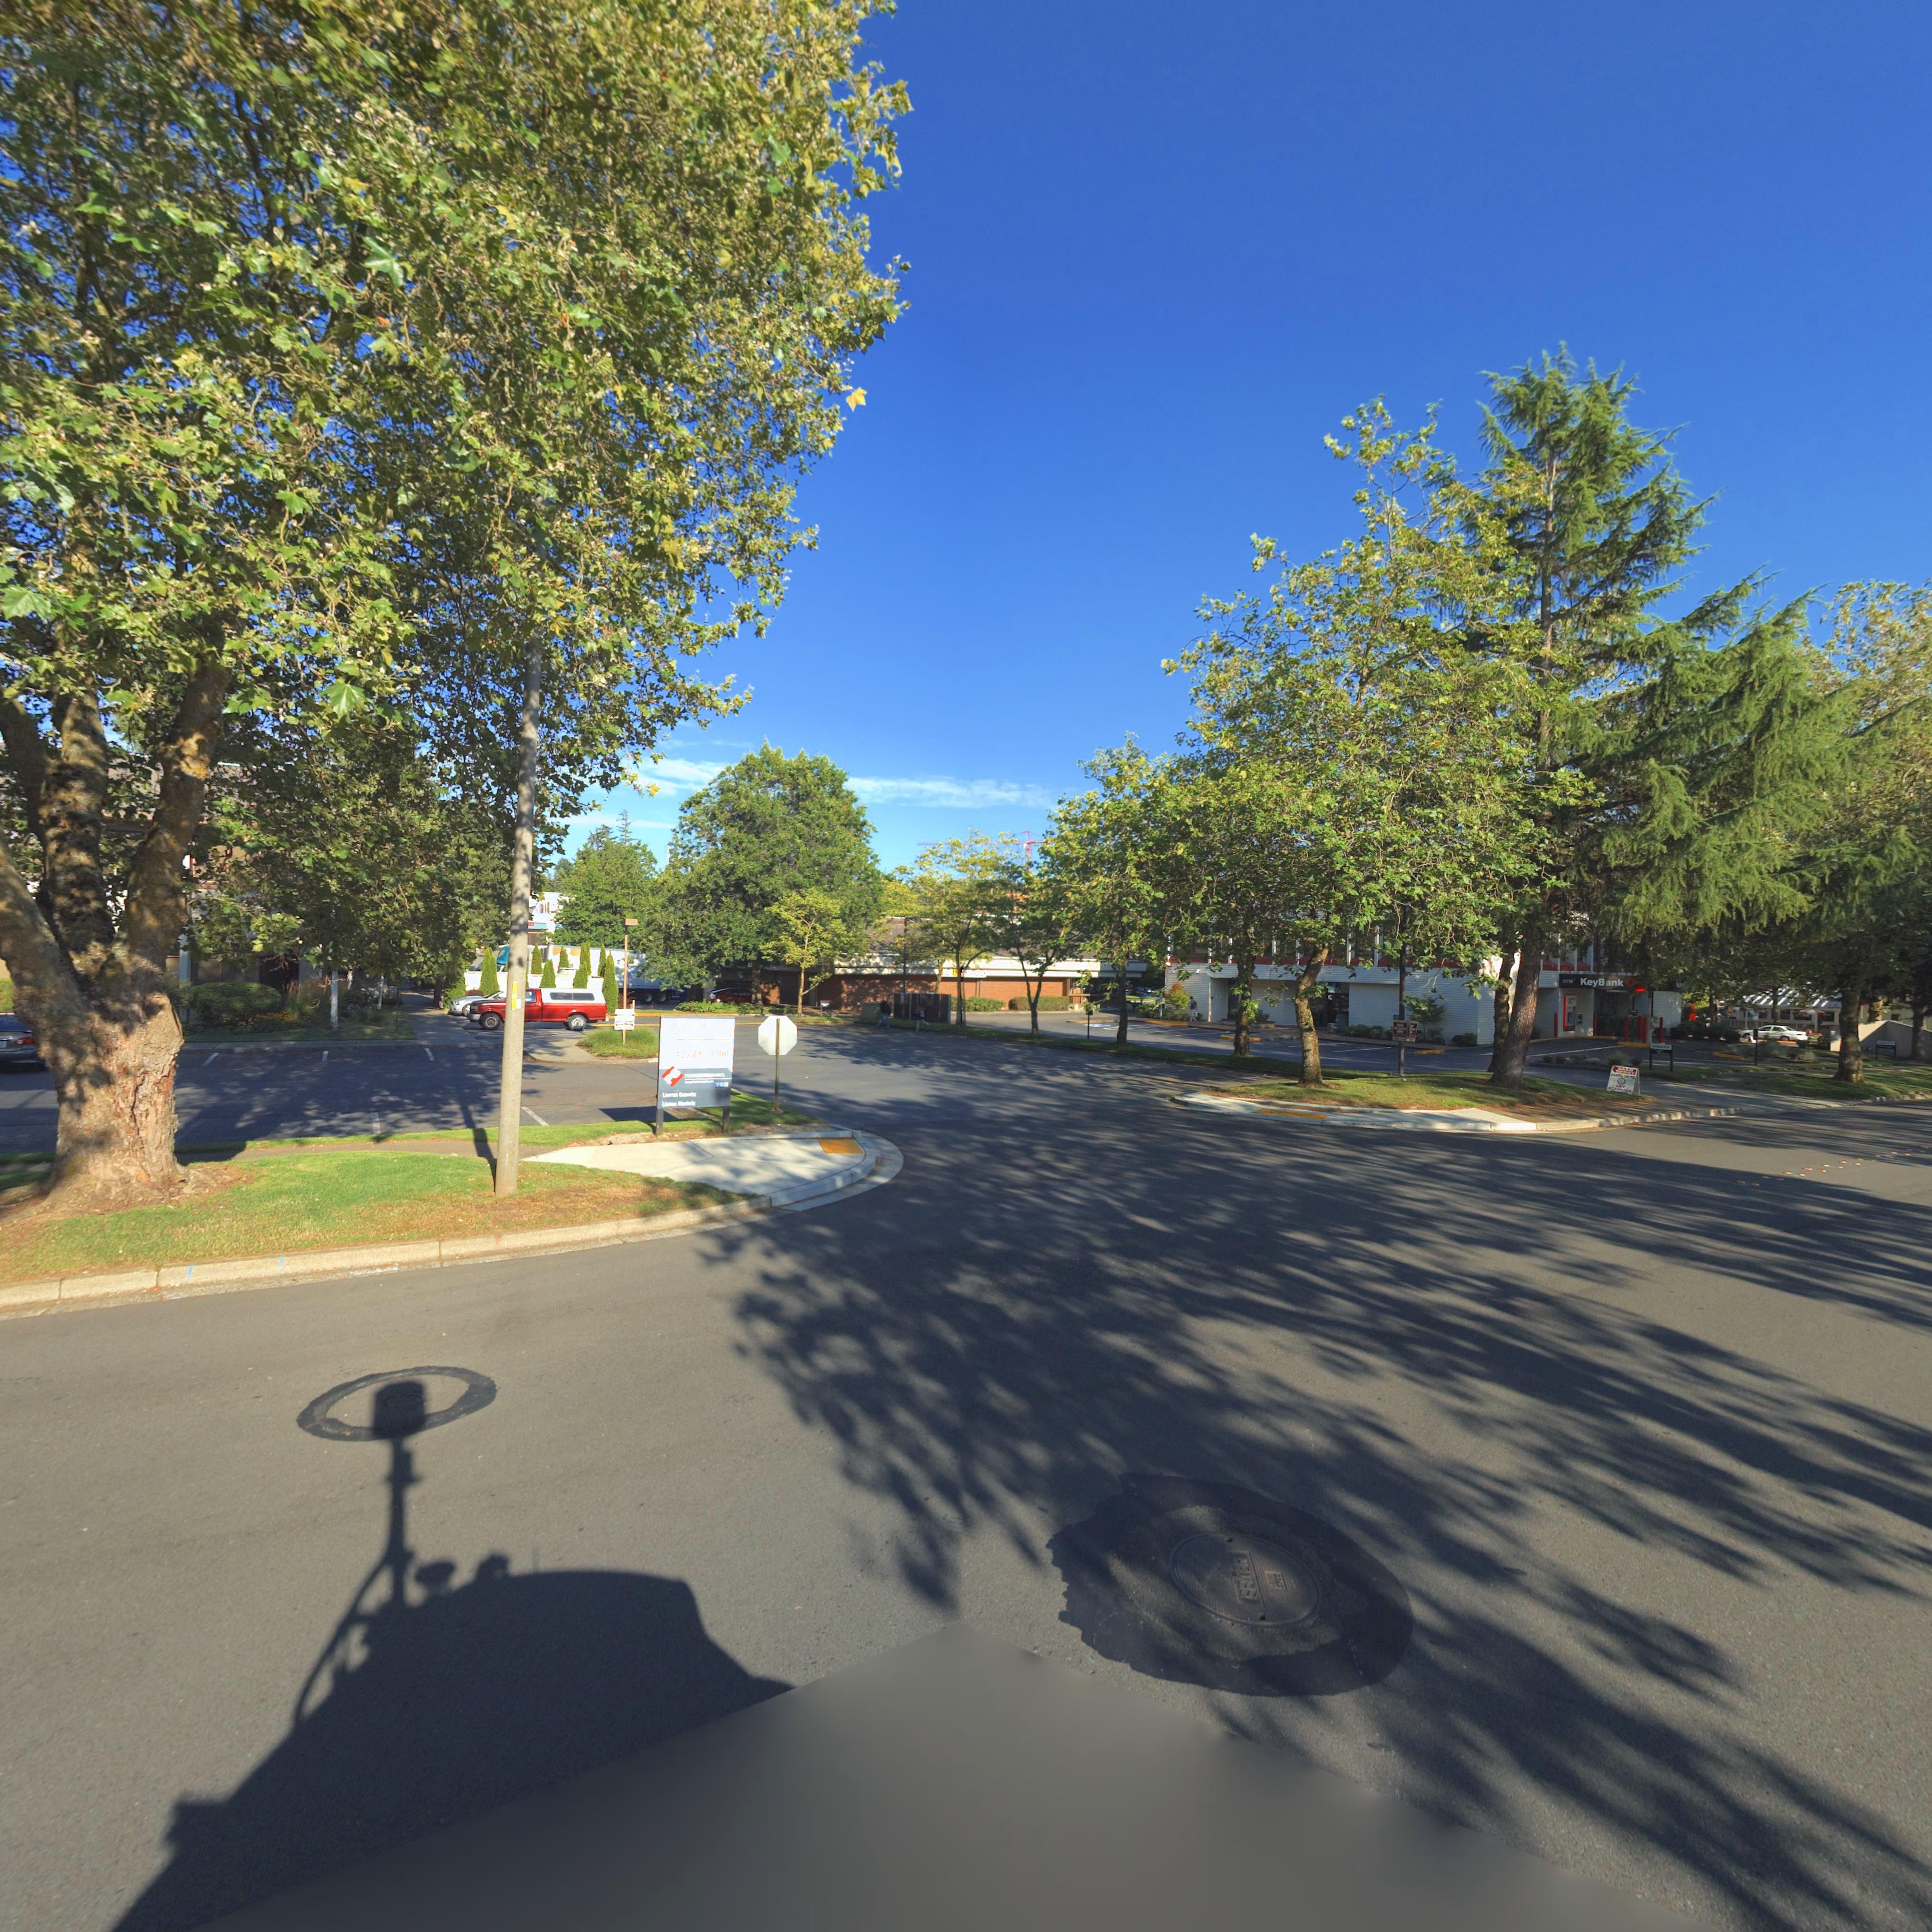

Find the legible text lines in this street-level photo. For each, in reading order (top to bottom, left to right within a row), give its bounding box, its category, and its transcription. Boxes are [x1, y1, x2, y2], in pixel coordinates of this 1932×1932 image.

[1579, 976, 1625, 988] BusinessName: KeyBank